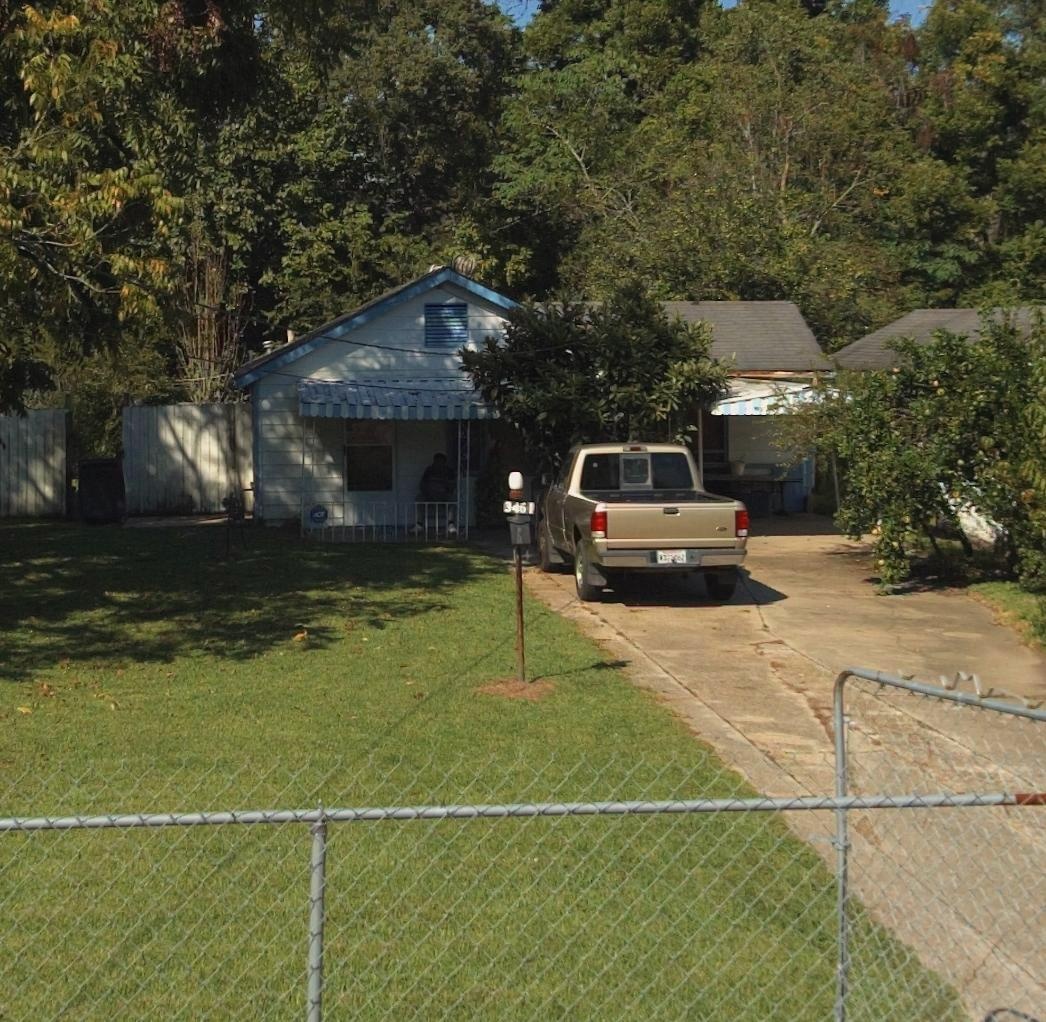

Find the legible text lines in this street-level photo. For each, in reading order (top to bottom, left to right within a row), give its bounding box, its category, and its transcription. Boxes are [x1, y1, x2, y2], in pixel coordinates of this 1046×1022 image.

[502, 500, 536, 515] StreetNumber: 3461